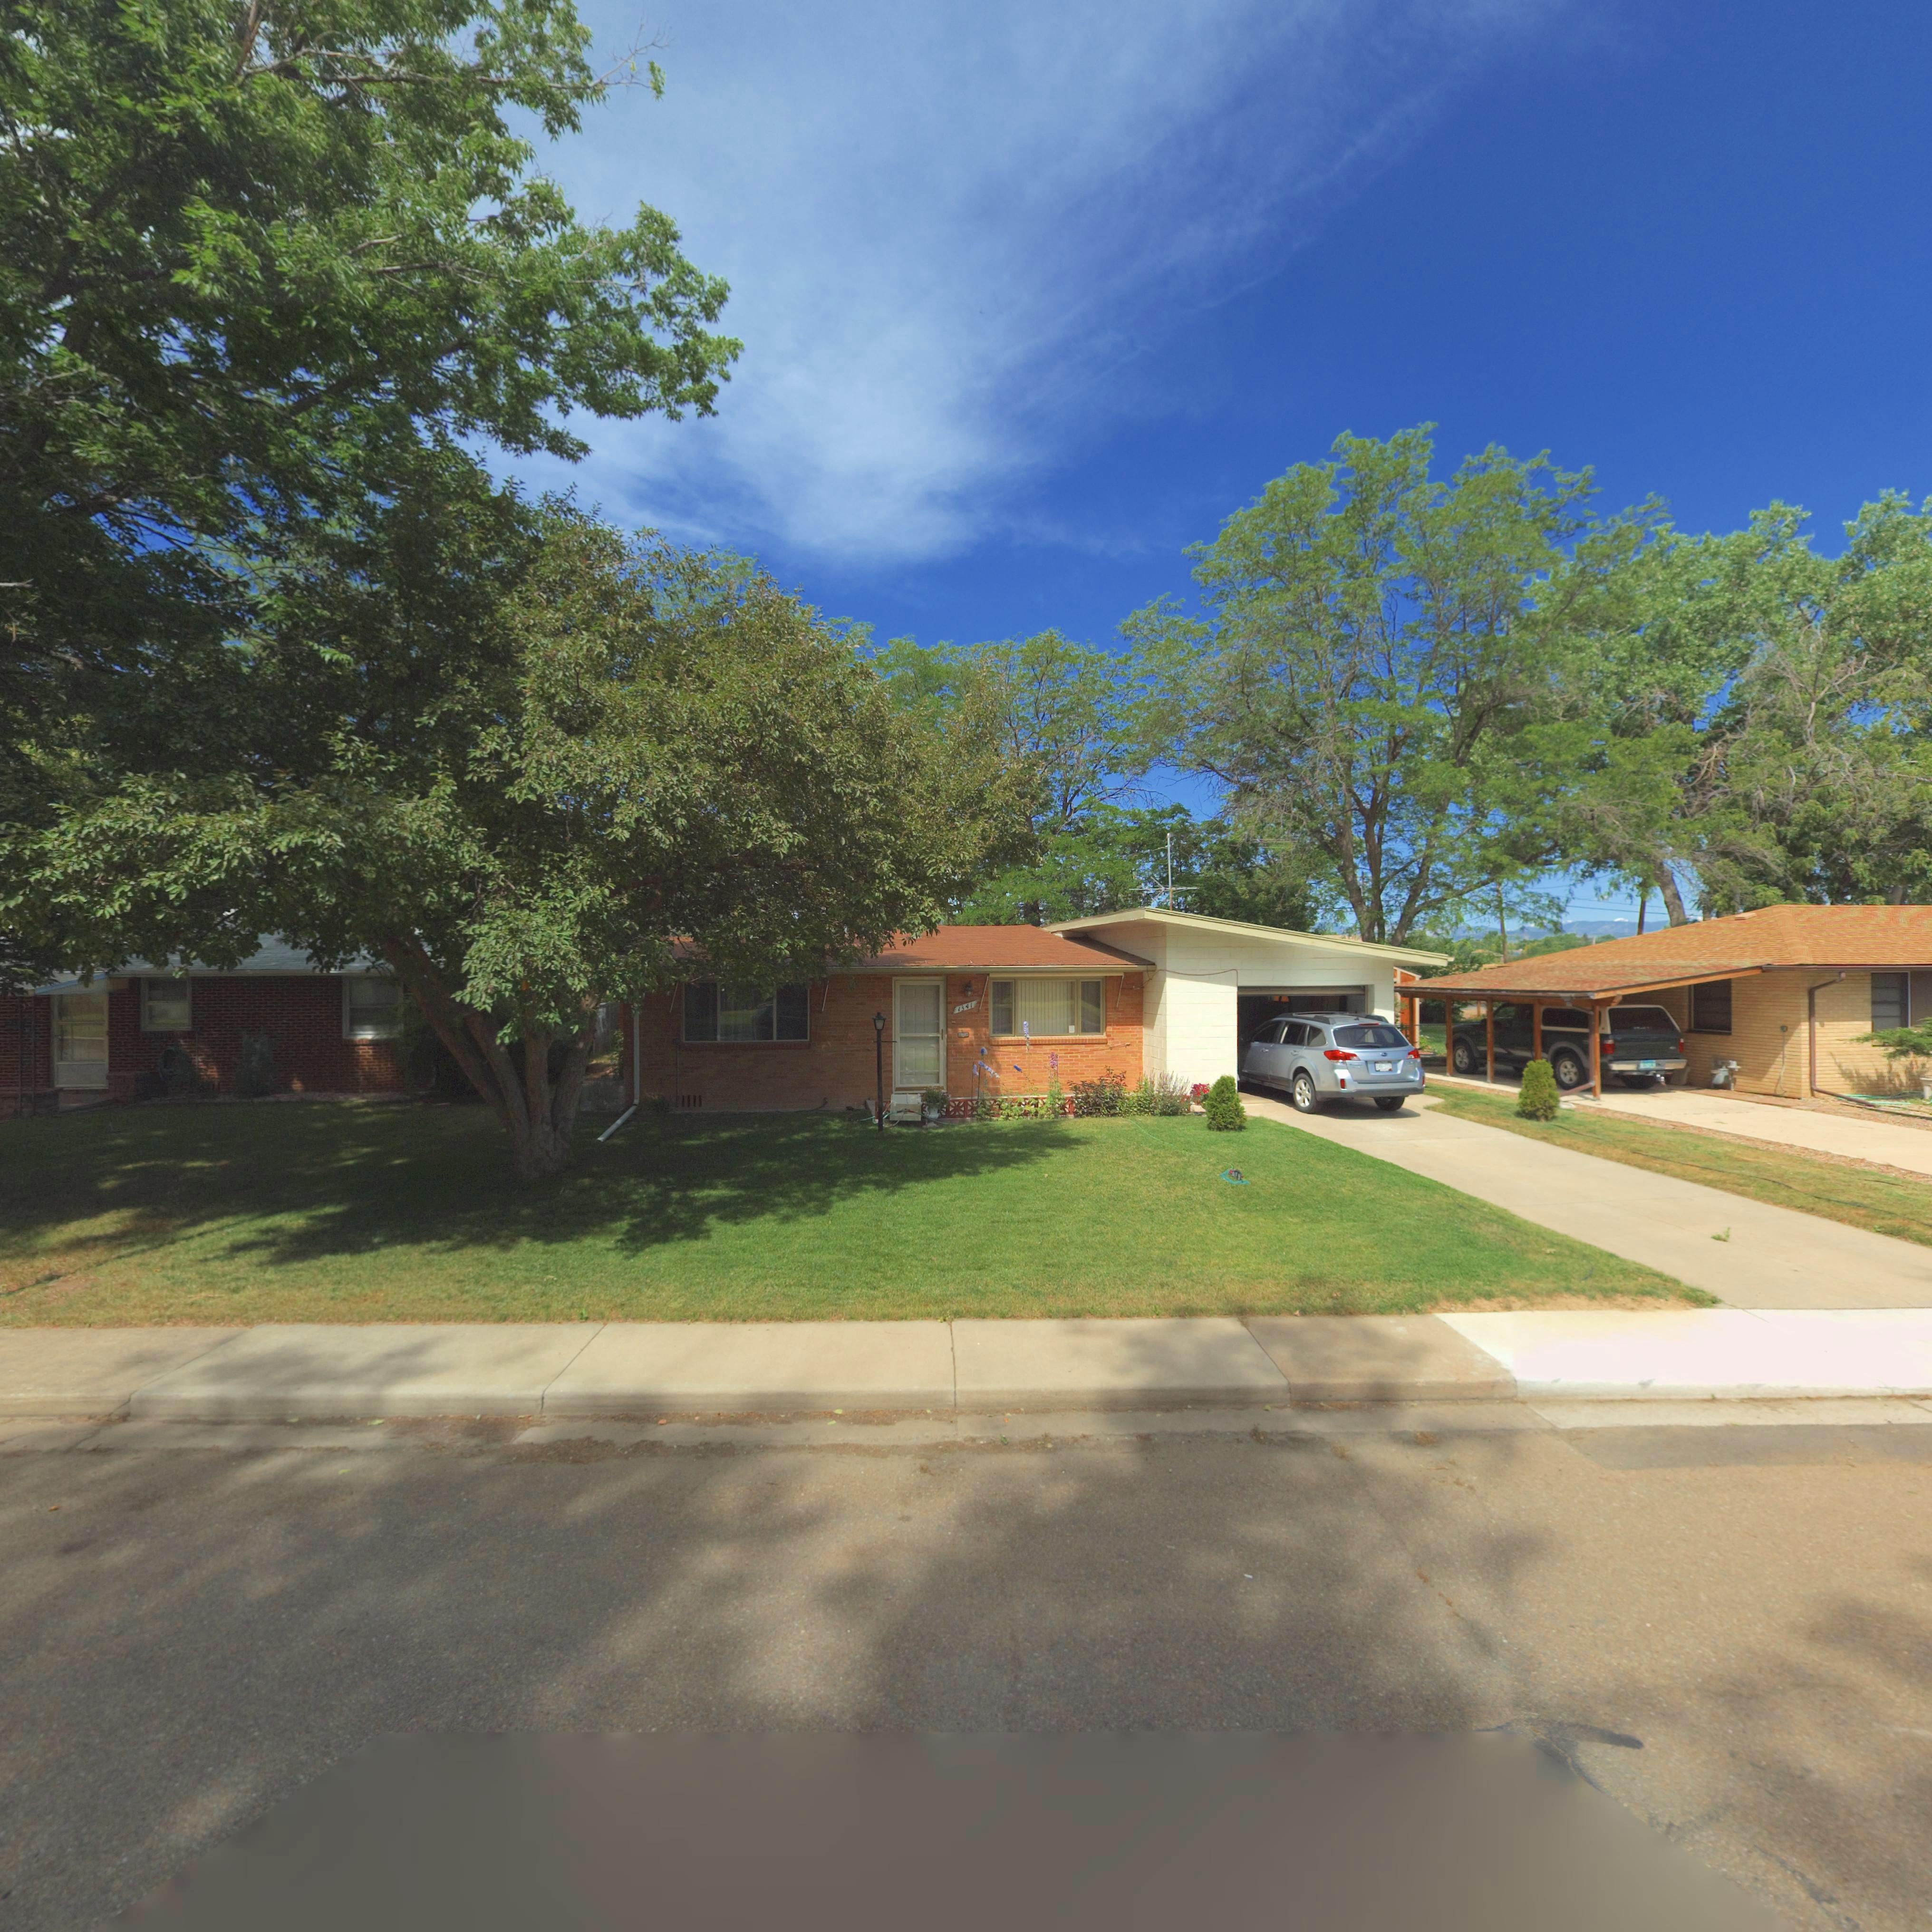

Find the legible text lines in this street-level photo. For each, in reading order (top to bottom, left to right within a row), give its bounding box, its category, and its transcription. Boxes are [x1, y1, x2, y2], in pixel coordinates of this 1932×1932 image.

[957, 1002, 973, 1013] StreetNumber: 1341